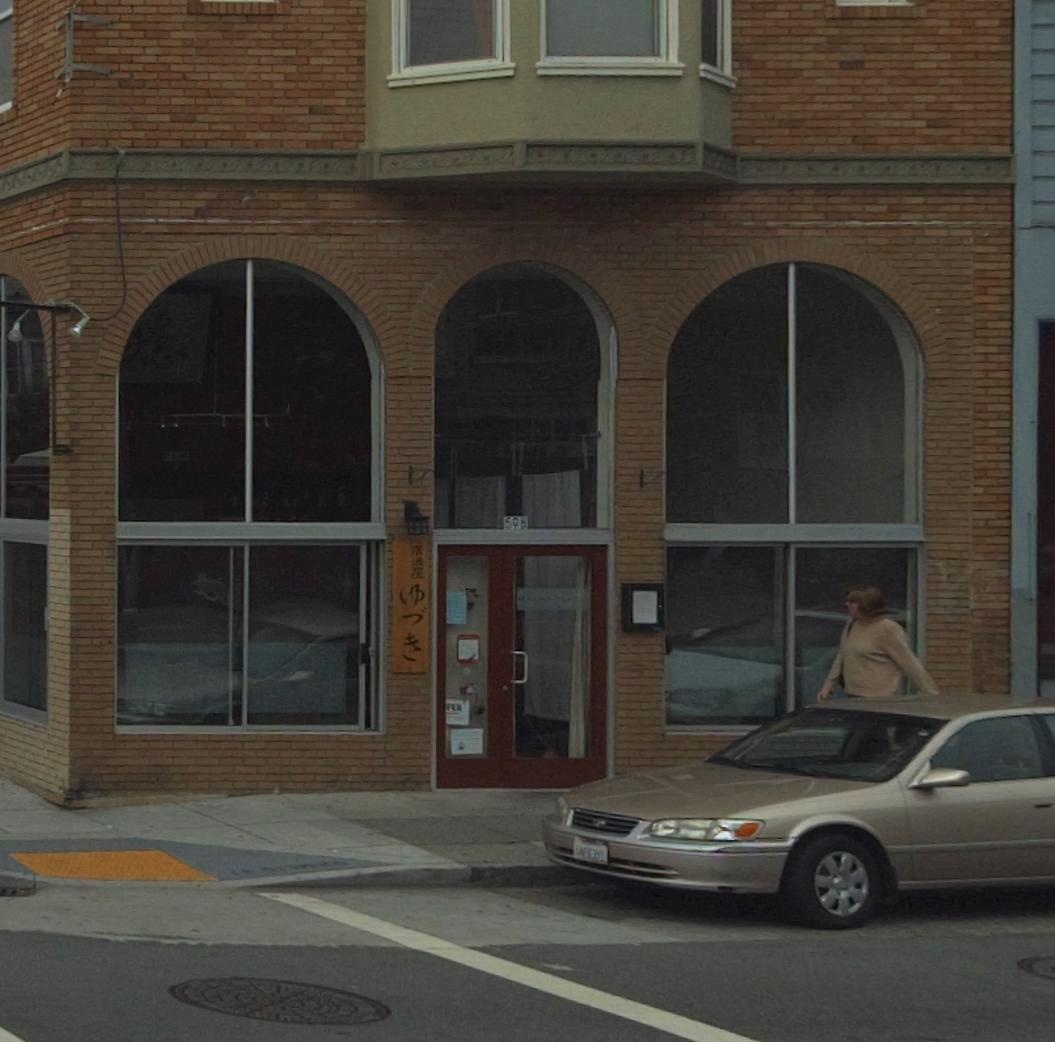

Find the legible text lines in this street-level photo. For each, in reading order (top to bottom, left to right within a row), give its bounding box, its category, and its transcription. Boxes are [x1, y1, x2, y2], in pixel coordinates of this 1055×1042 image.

[503, 515, 527, 531] StreetNumber: 598